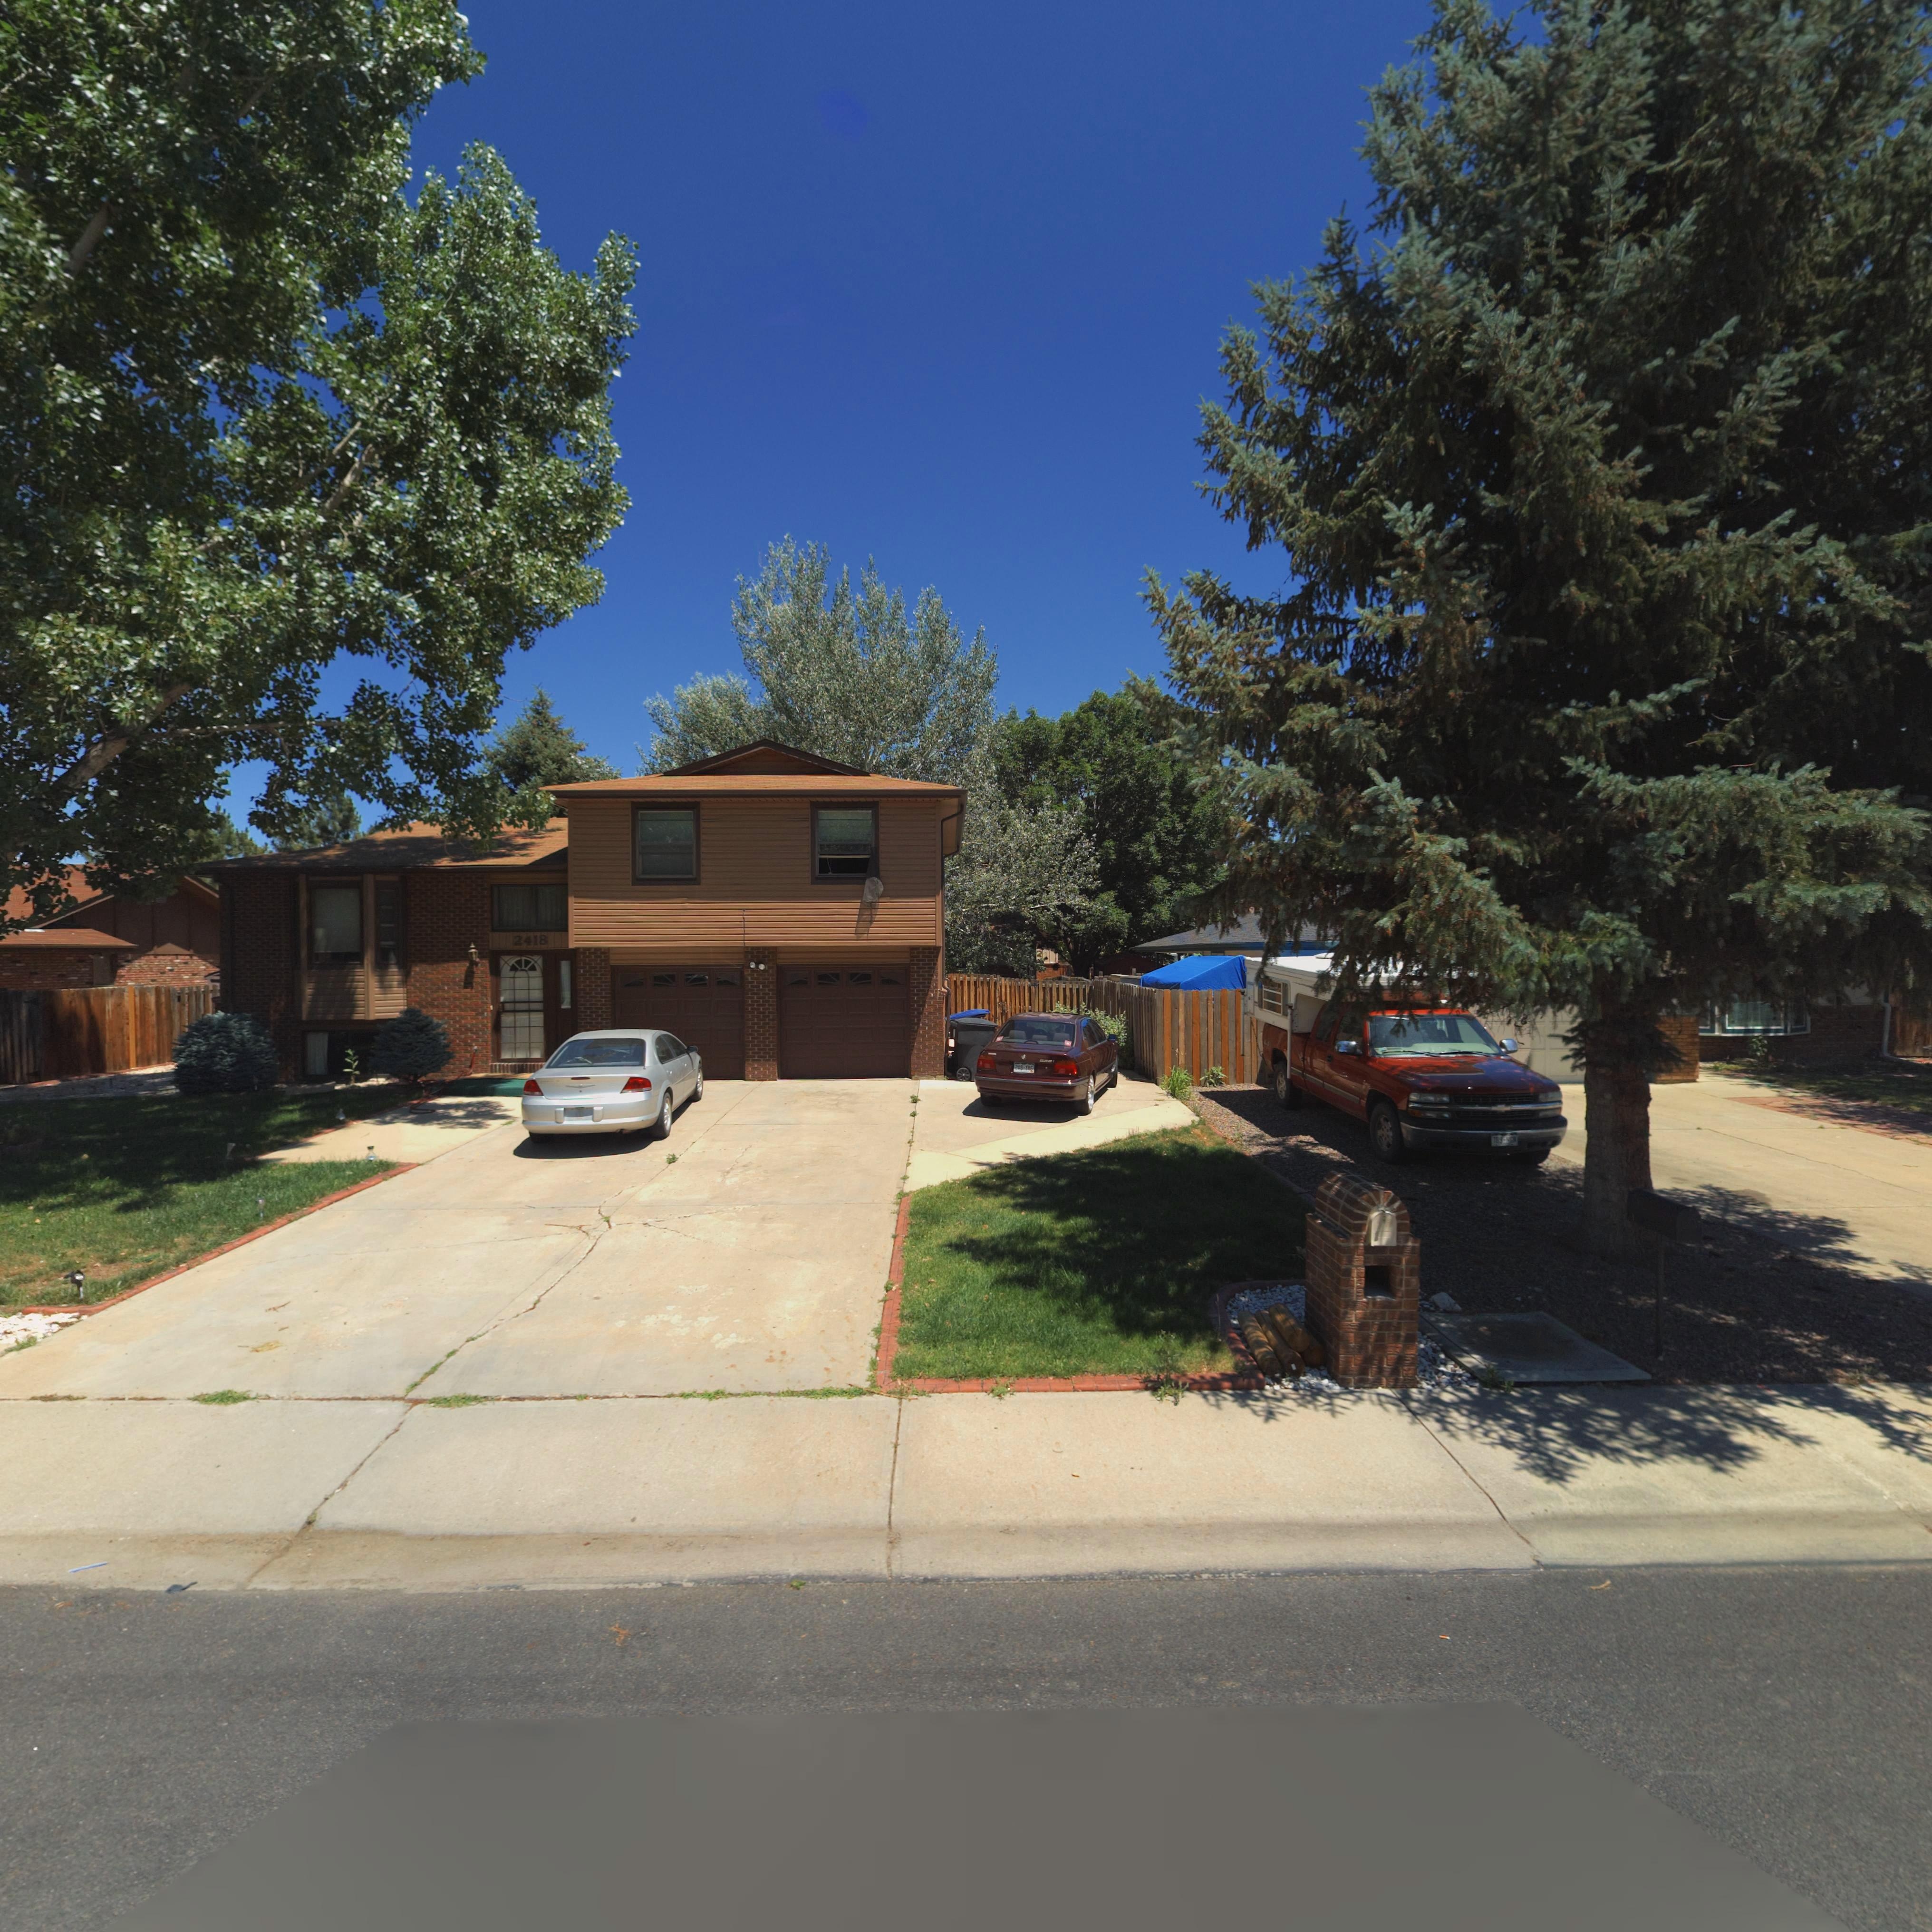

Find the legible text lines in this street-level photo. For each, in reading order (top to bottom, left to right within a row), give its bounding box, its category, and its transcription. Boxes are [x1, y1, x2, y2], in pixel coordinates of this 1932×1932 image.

[513, 934, 547, 946] StreetNumber: 2418